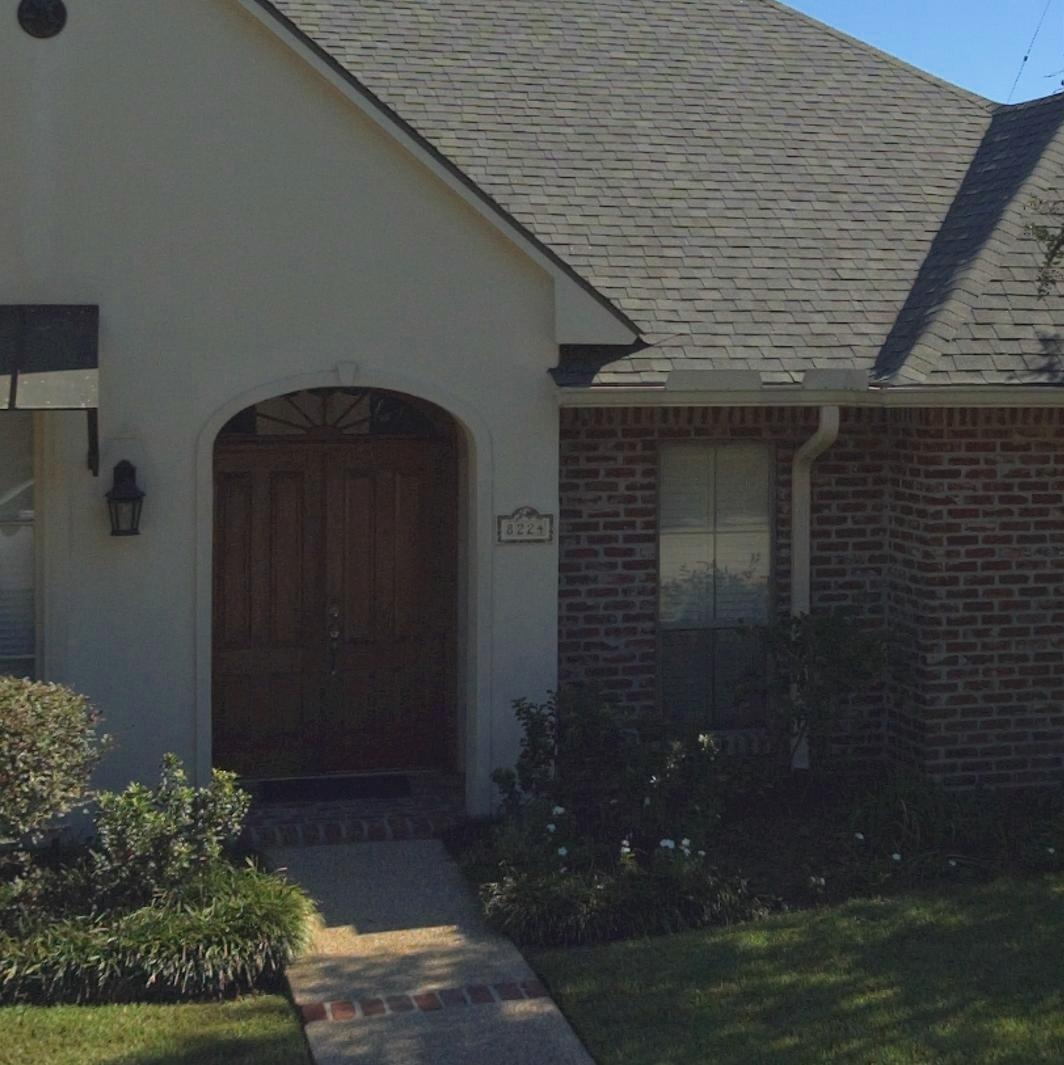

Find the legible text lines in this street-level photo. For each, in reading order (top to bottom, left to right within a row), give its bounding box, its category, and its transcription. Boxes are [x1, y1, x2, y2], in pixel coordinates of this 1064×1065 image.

[504, 522, 545, 536] StreetNumber: 8224